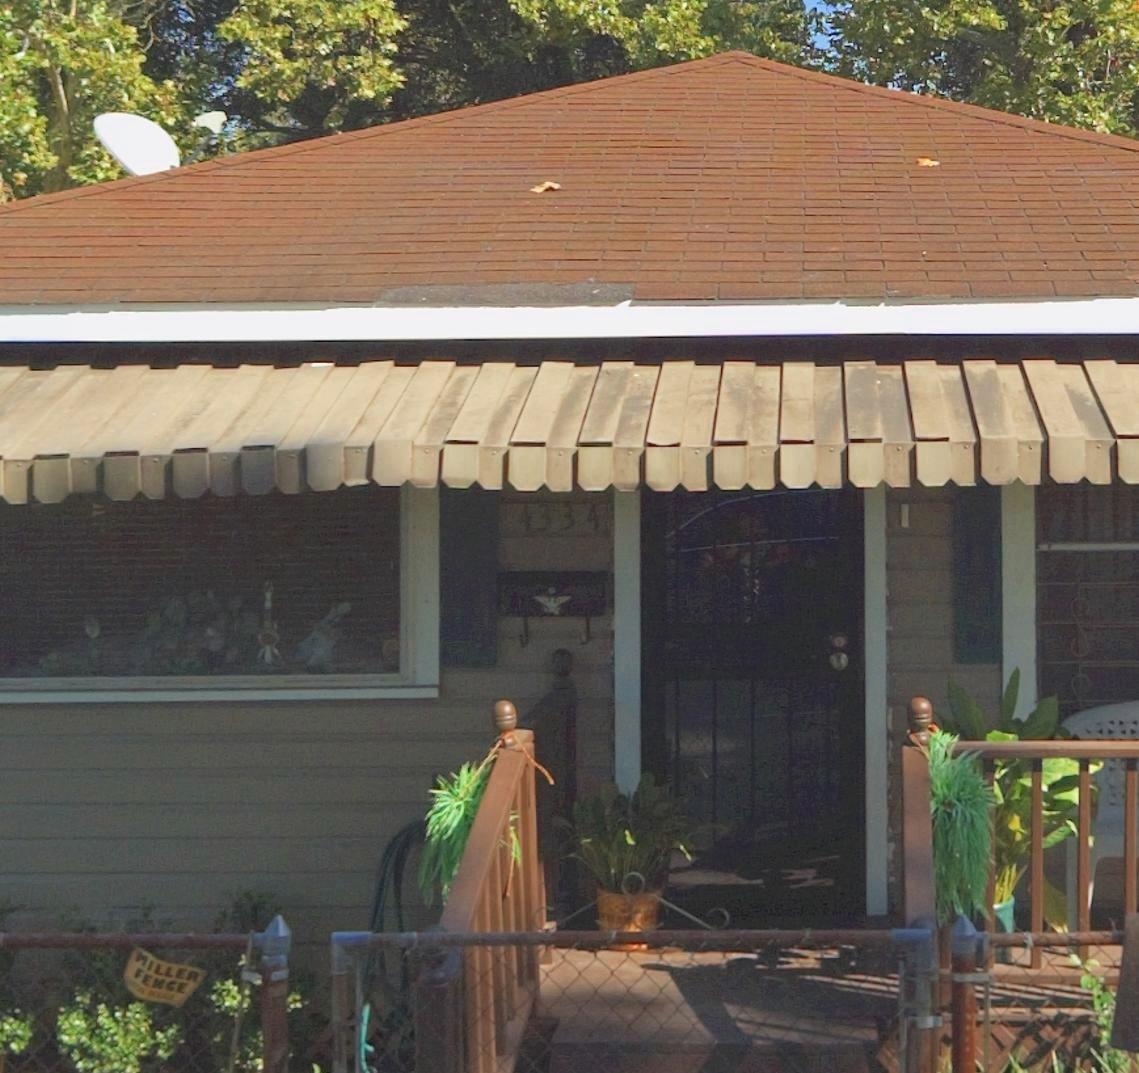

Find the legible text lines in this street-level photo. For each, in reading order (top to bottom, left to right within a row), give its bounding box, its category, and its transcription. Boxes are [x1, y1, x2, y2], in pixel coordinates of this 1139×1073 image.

[515, 502, 604, 533] StreetNumber: 4334
[132, 966, 190, 996] None: FENCE
[131, 949, 202, 985] None: MILLER